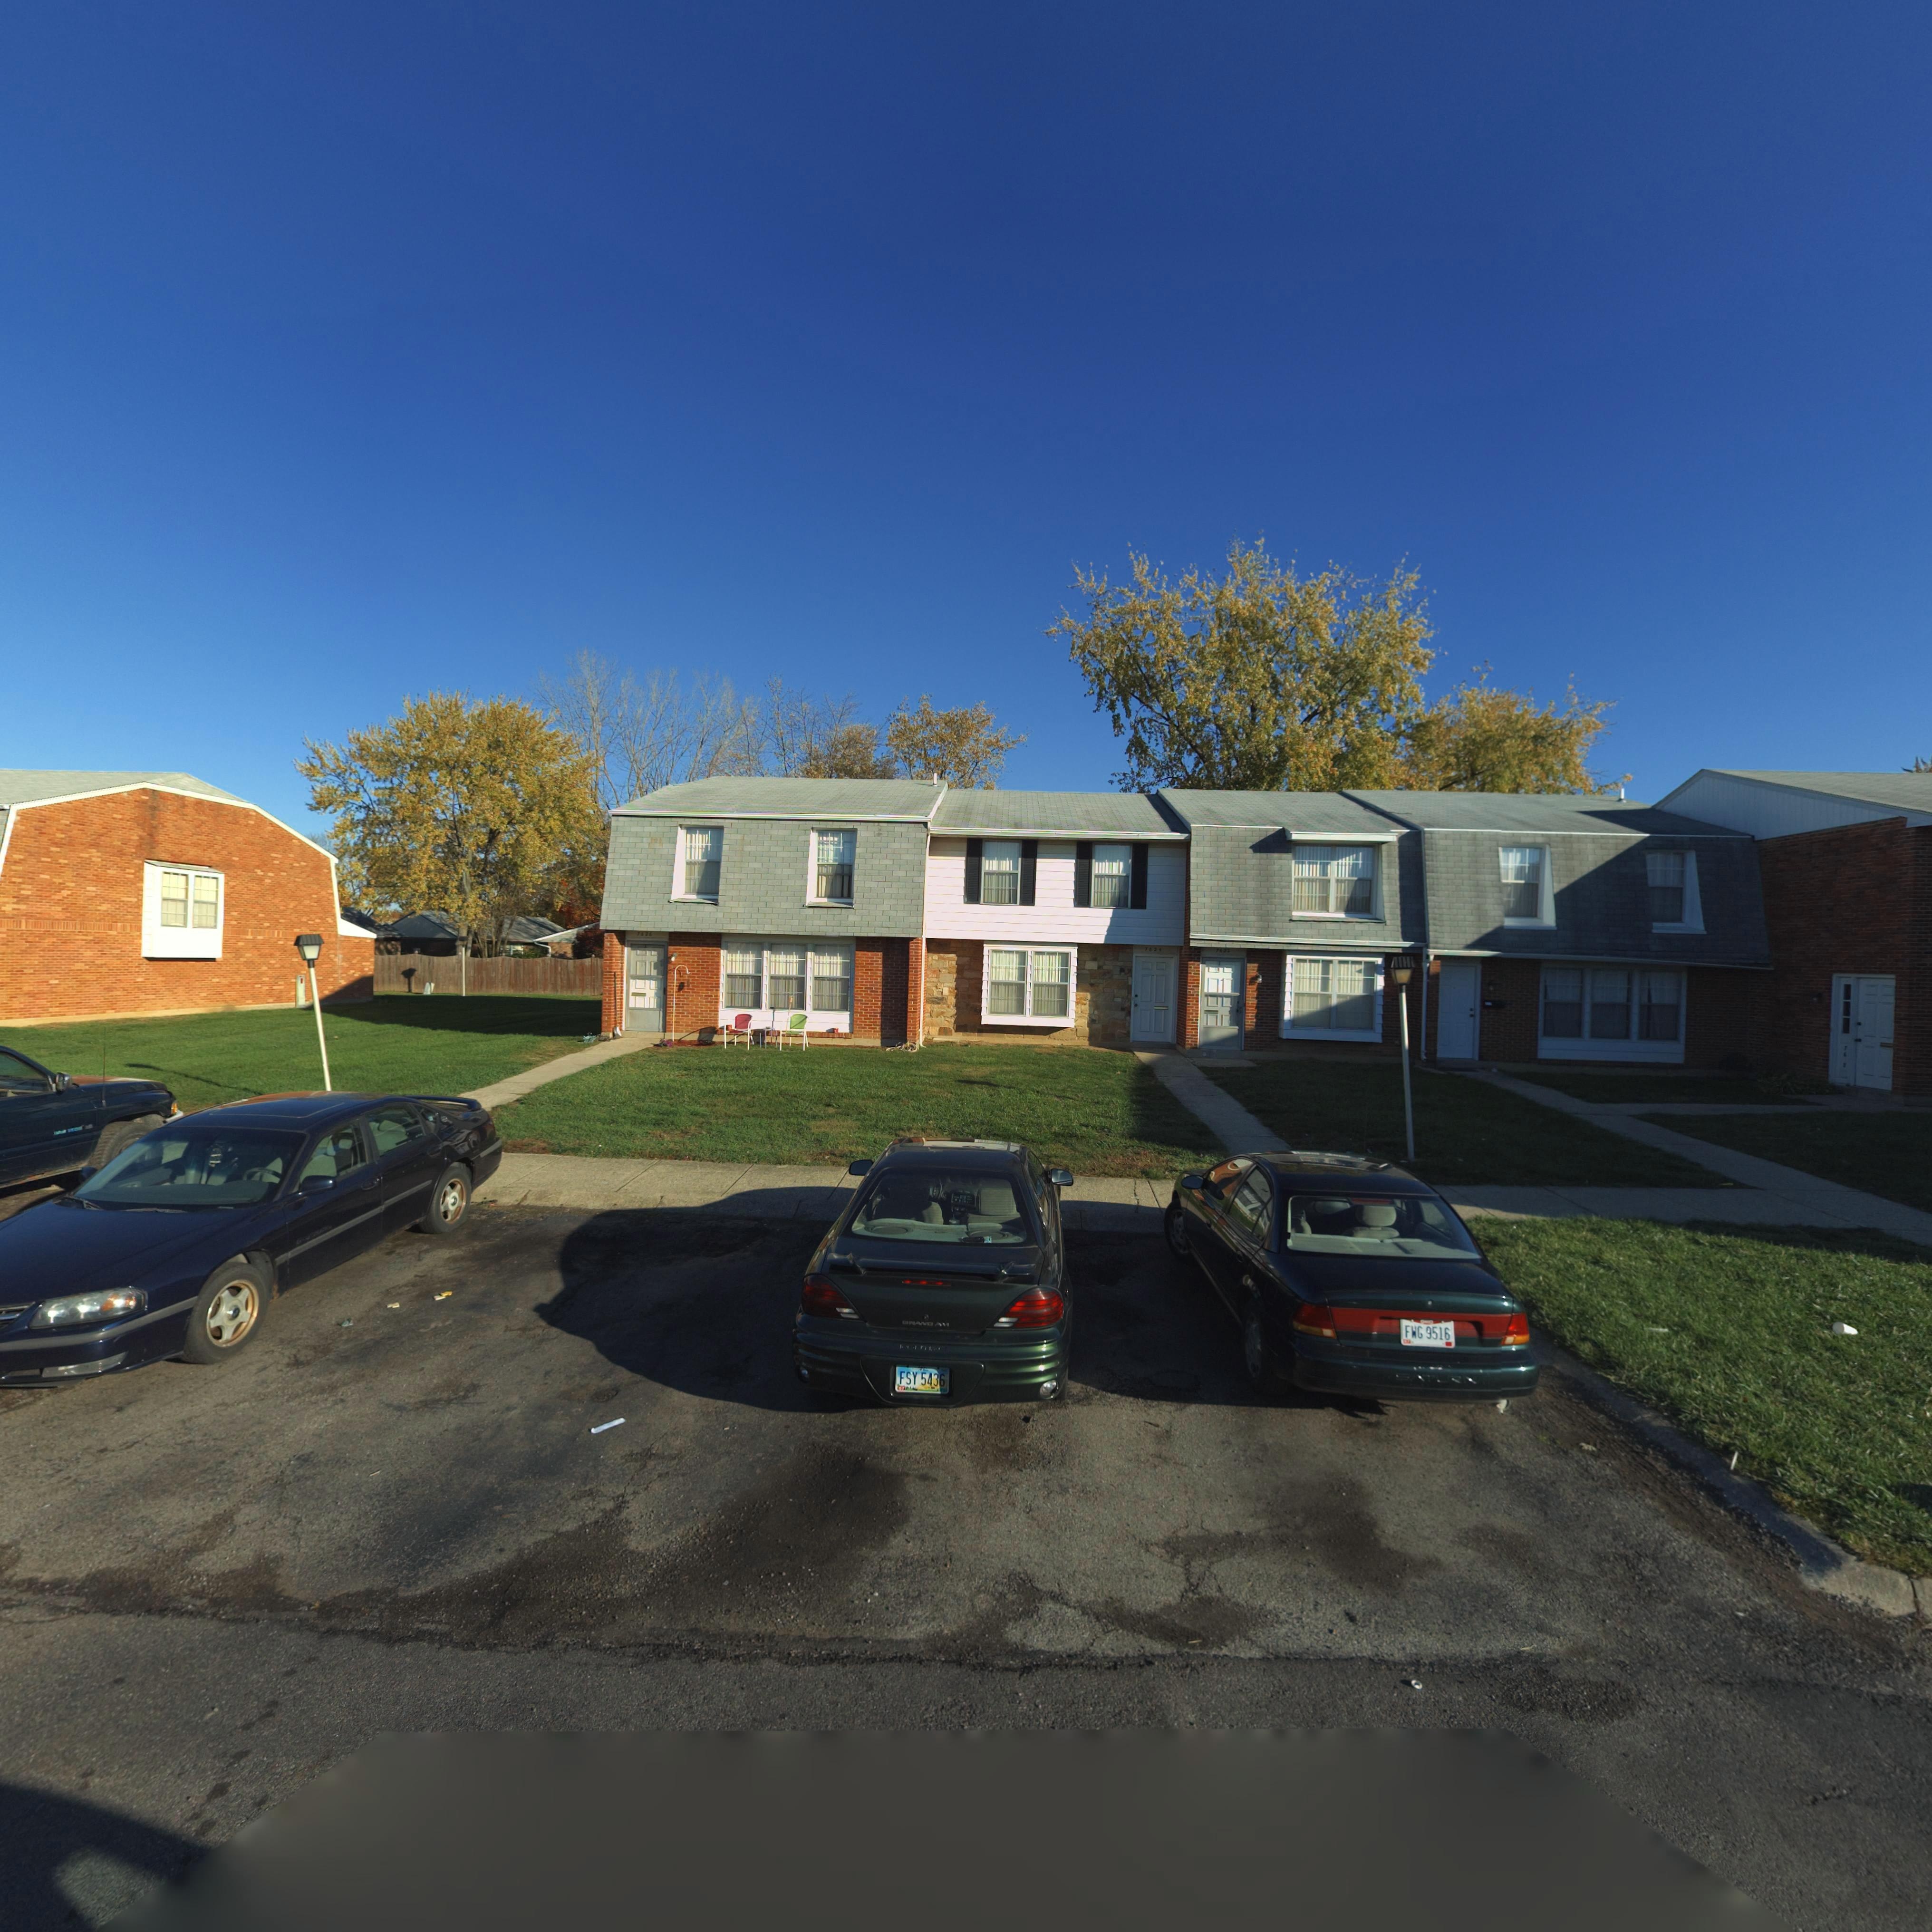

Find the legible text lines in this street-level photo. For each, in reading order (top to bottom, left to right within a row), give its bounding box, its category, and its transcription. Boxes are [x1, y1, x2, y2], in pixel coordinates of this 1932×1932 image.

[636, 931, 653, 937] StreetNumber: 7626
[1144, 947, 1163, 953] StreetNumber: 7624
[1215, 947, 1231, 953] StreetNumber: 7622
[1842, 1045, 1848, 1068] StreetNumber: 76*8